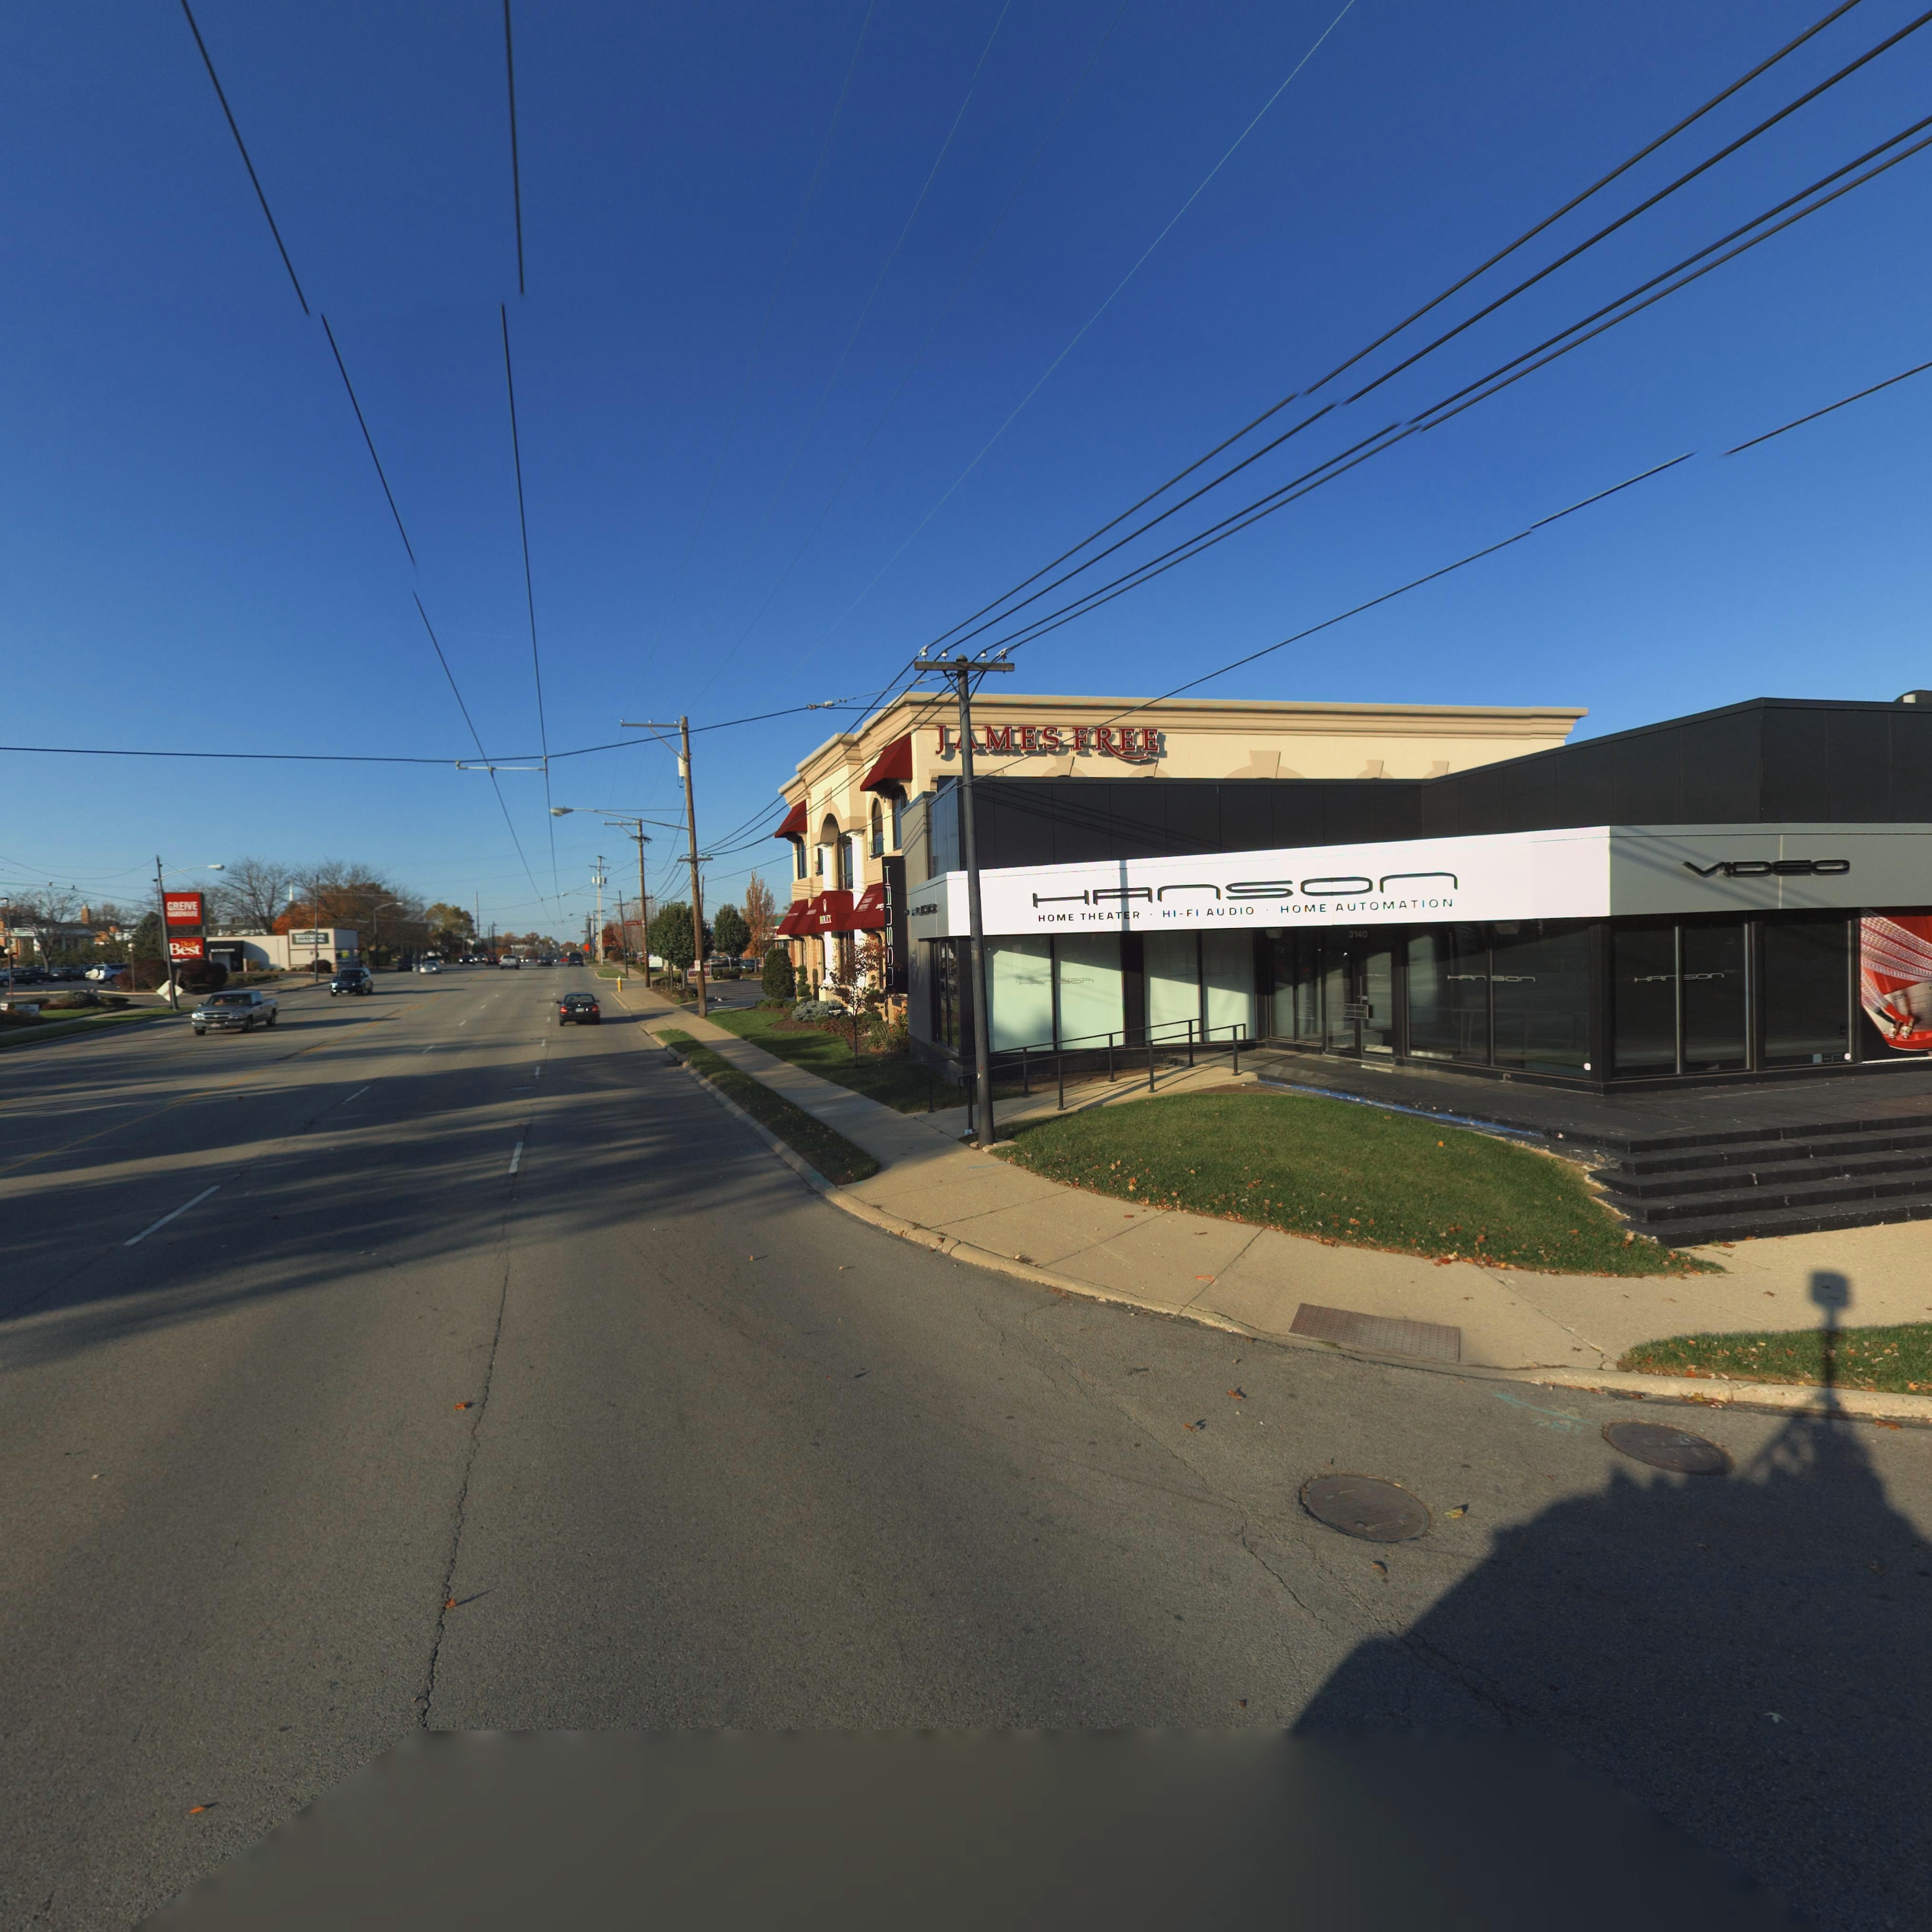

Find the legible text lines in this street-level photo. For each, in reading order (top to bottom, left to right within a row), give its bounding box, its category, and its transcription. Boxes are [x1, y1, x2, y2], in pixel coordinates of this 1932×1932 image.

[934, 723, 1161, 755] BusinessName: J*MES FREE
[1030, 869, 1459, 909] BusinessName: HAnSOn
[166, 900, 199, 911] BusinessName: GREIVE
[883, 865, 894, 987] BusinessName: HAnSOn
[1347, 929, 1369, 939] StreetNumber: 3140
[168, 943, 203, 956] BusinessName: Best
[1446, 974, 1537, 983] BusinessName: HAnSOn
[1633, 971, 1726, 983] BusinessName: HA*SOn